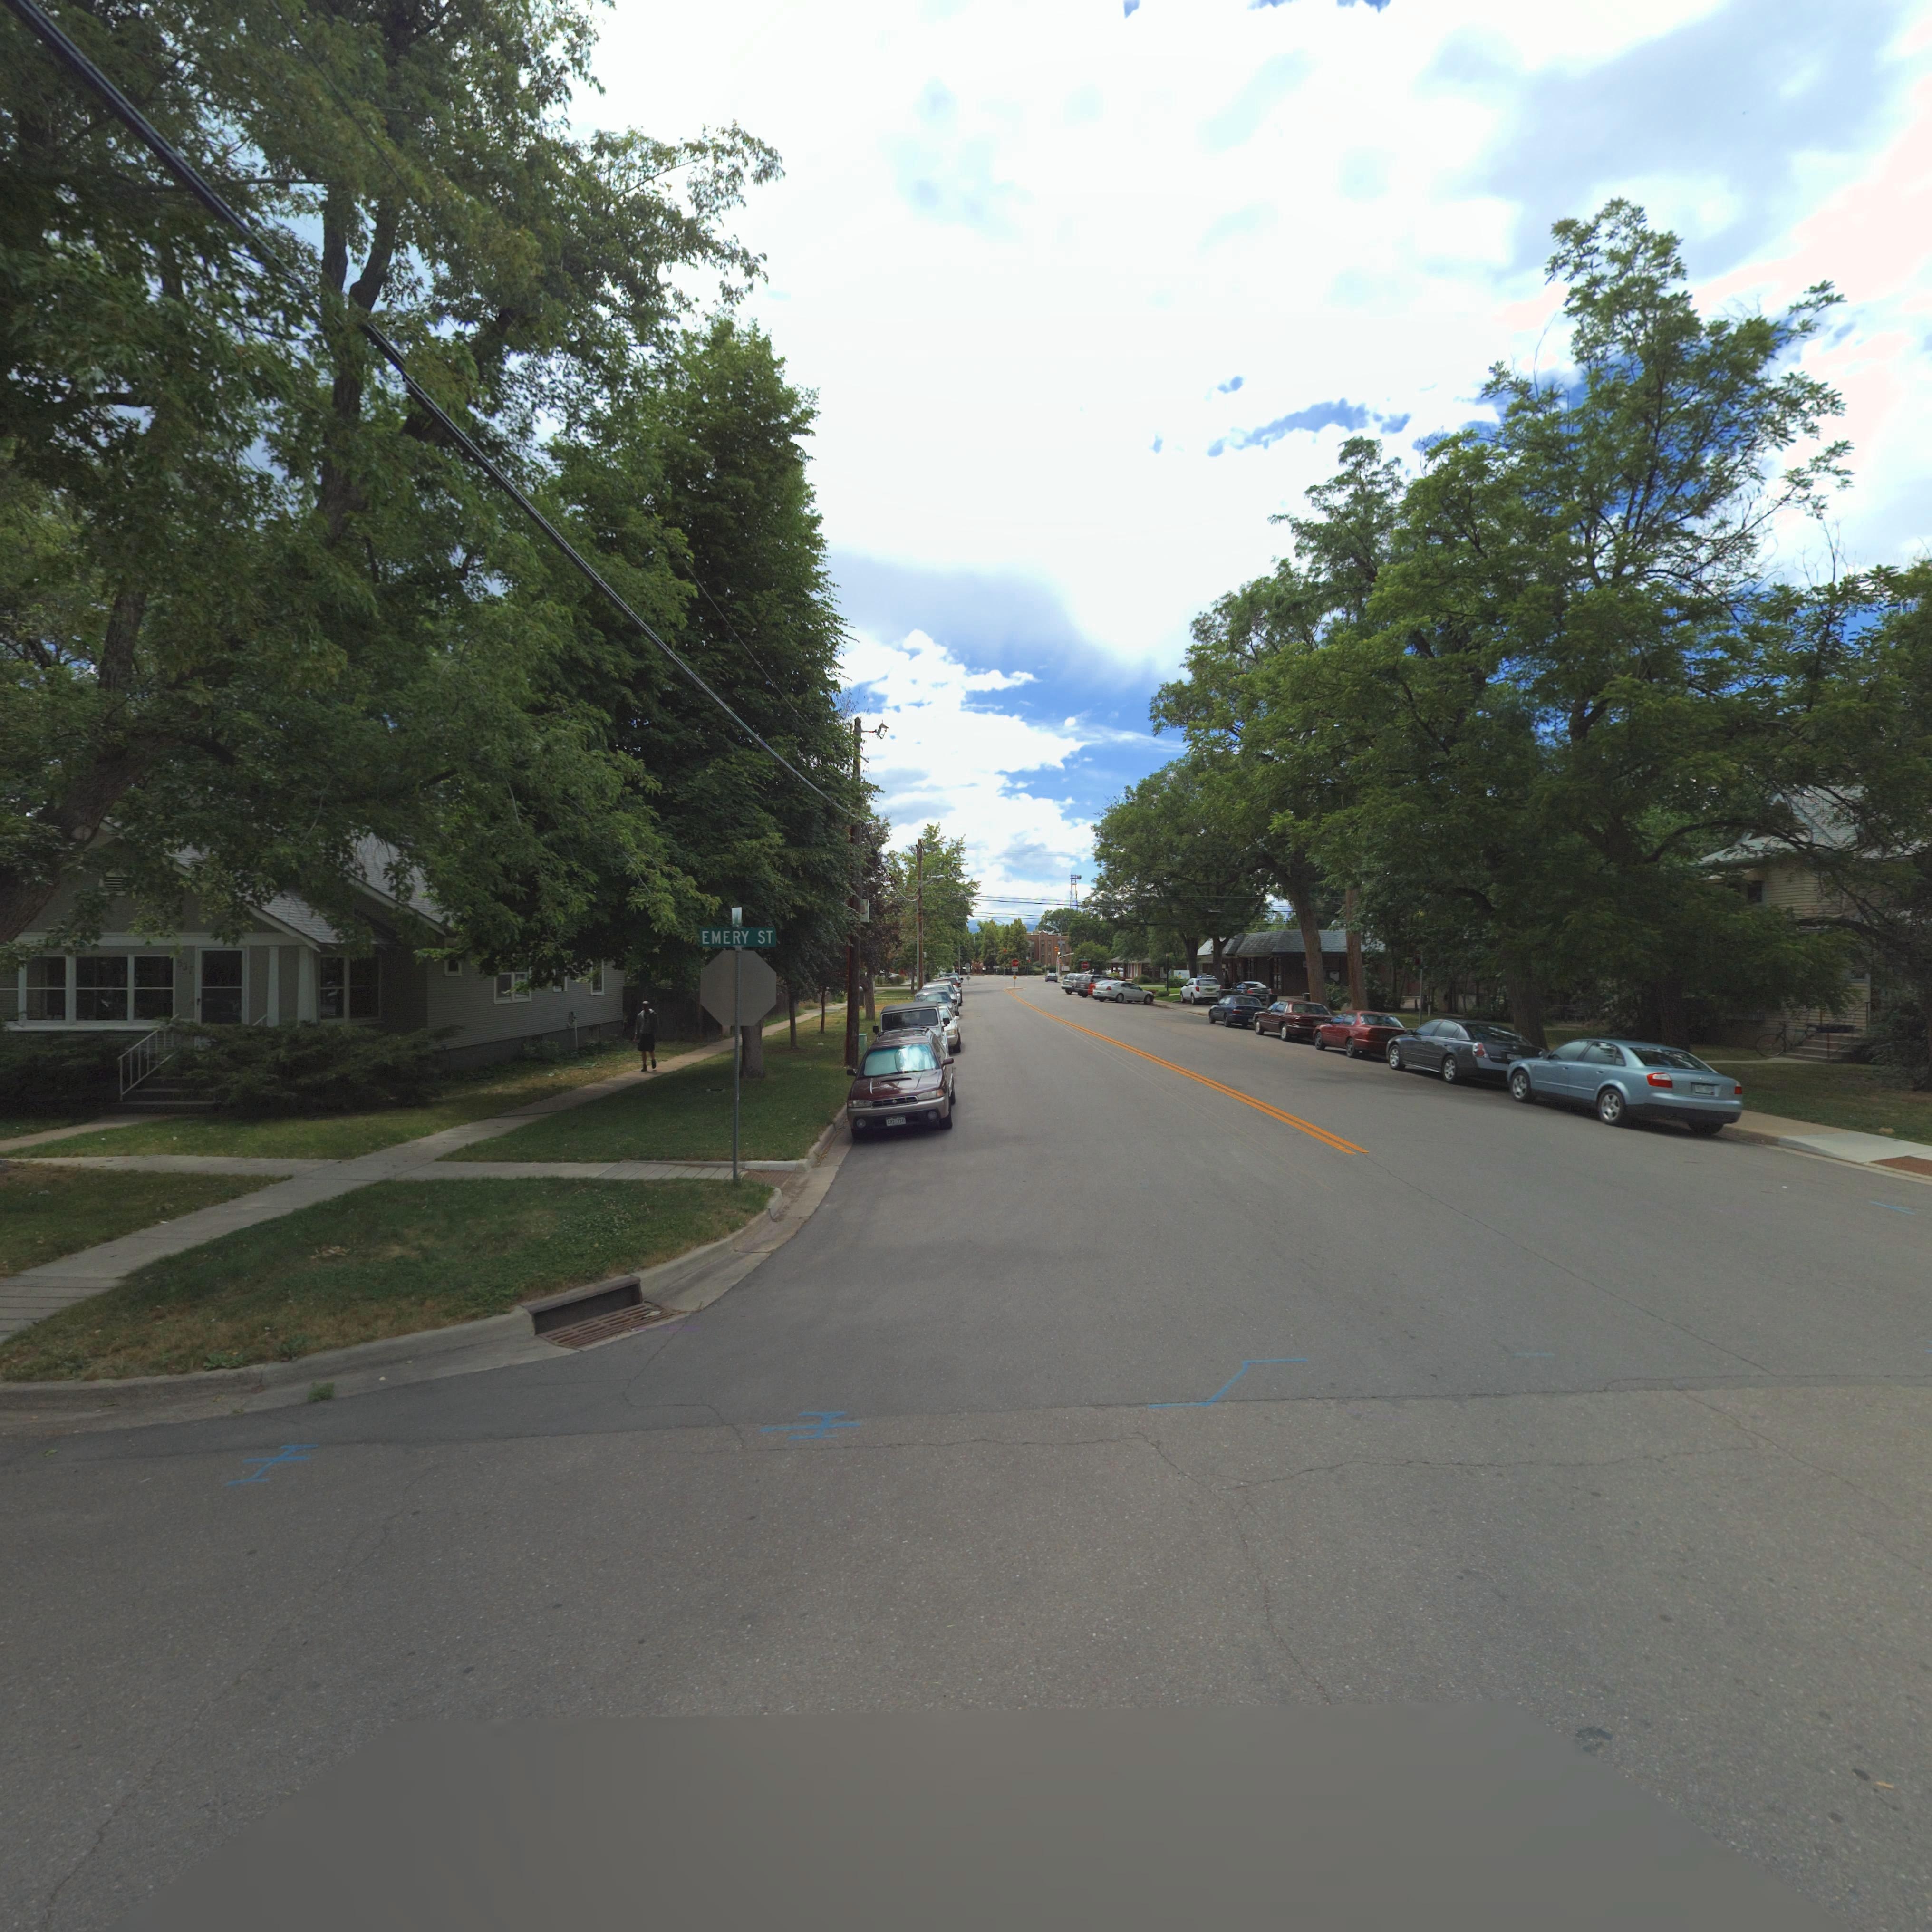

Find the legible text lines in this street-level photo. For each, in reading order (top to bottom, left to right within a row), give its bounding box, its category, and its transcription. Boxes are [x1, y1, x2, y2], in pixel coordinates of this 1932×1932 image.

[702, 930, 773, 944] StreetName: EMERY ST